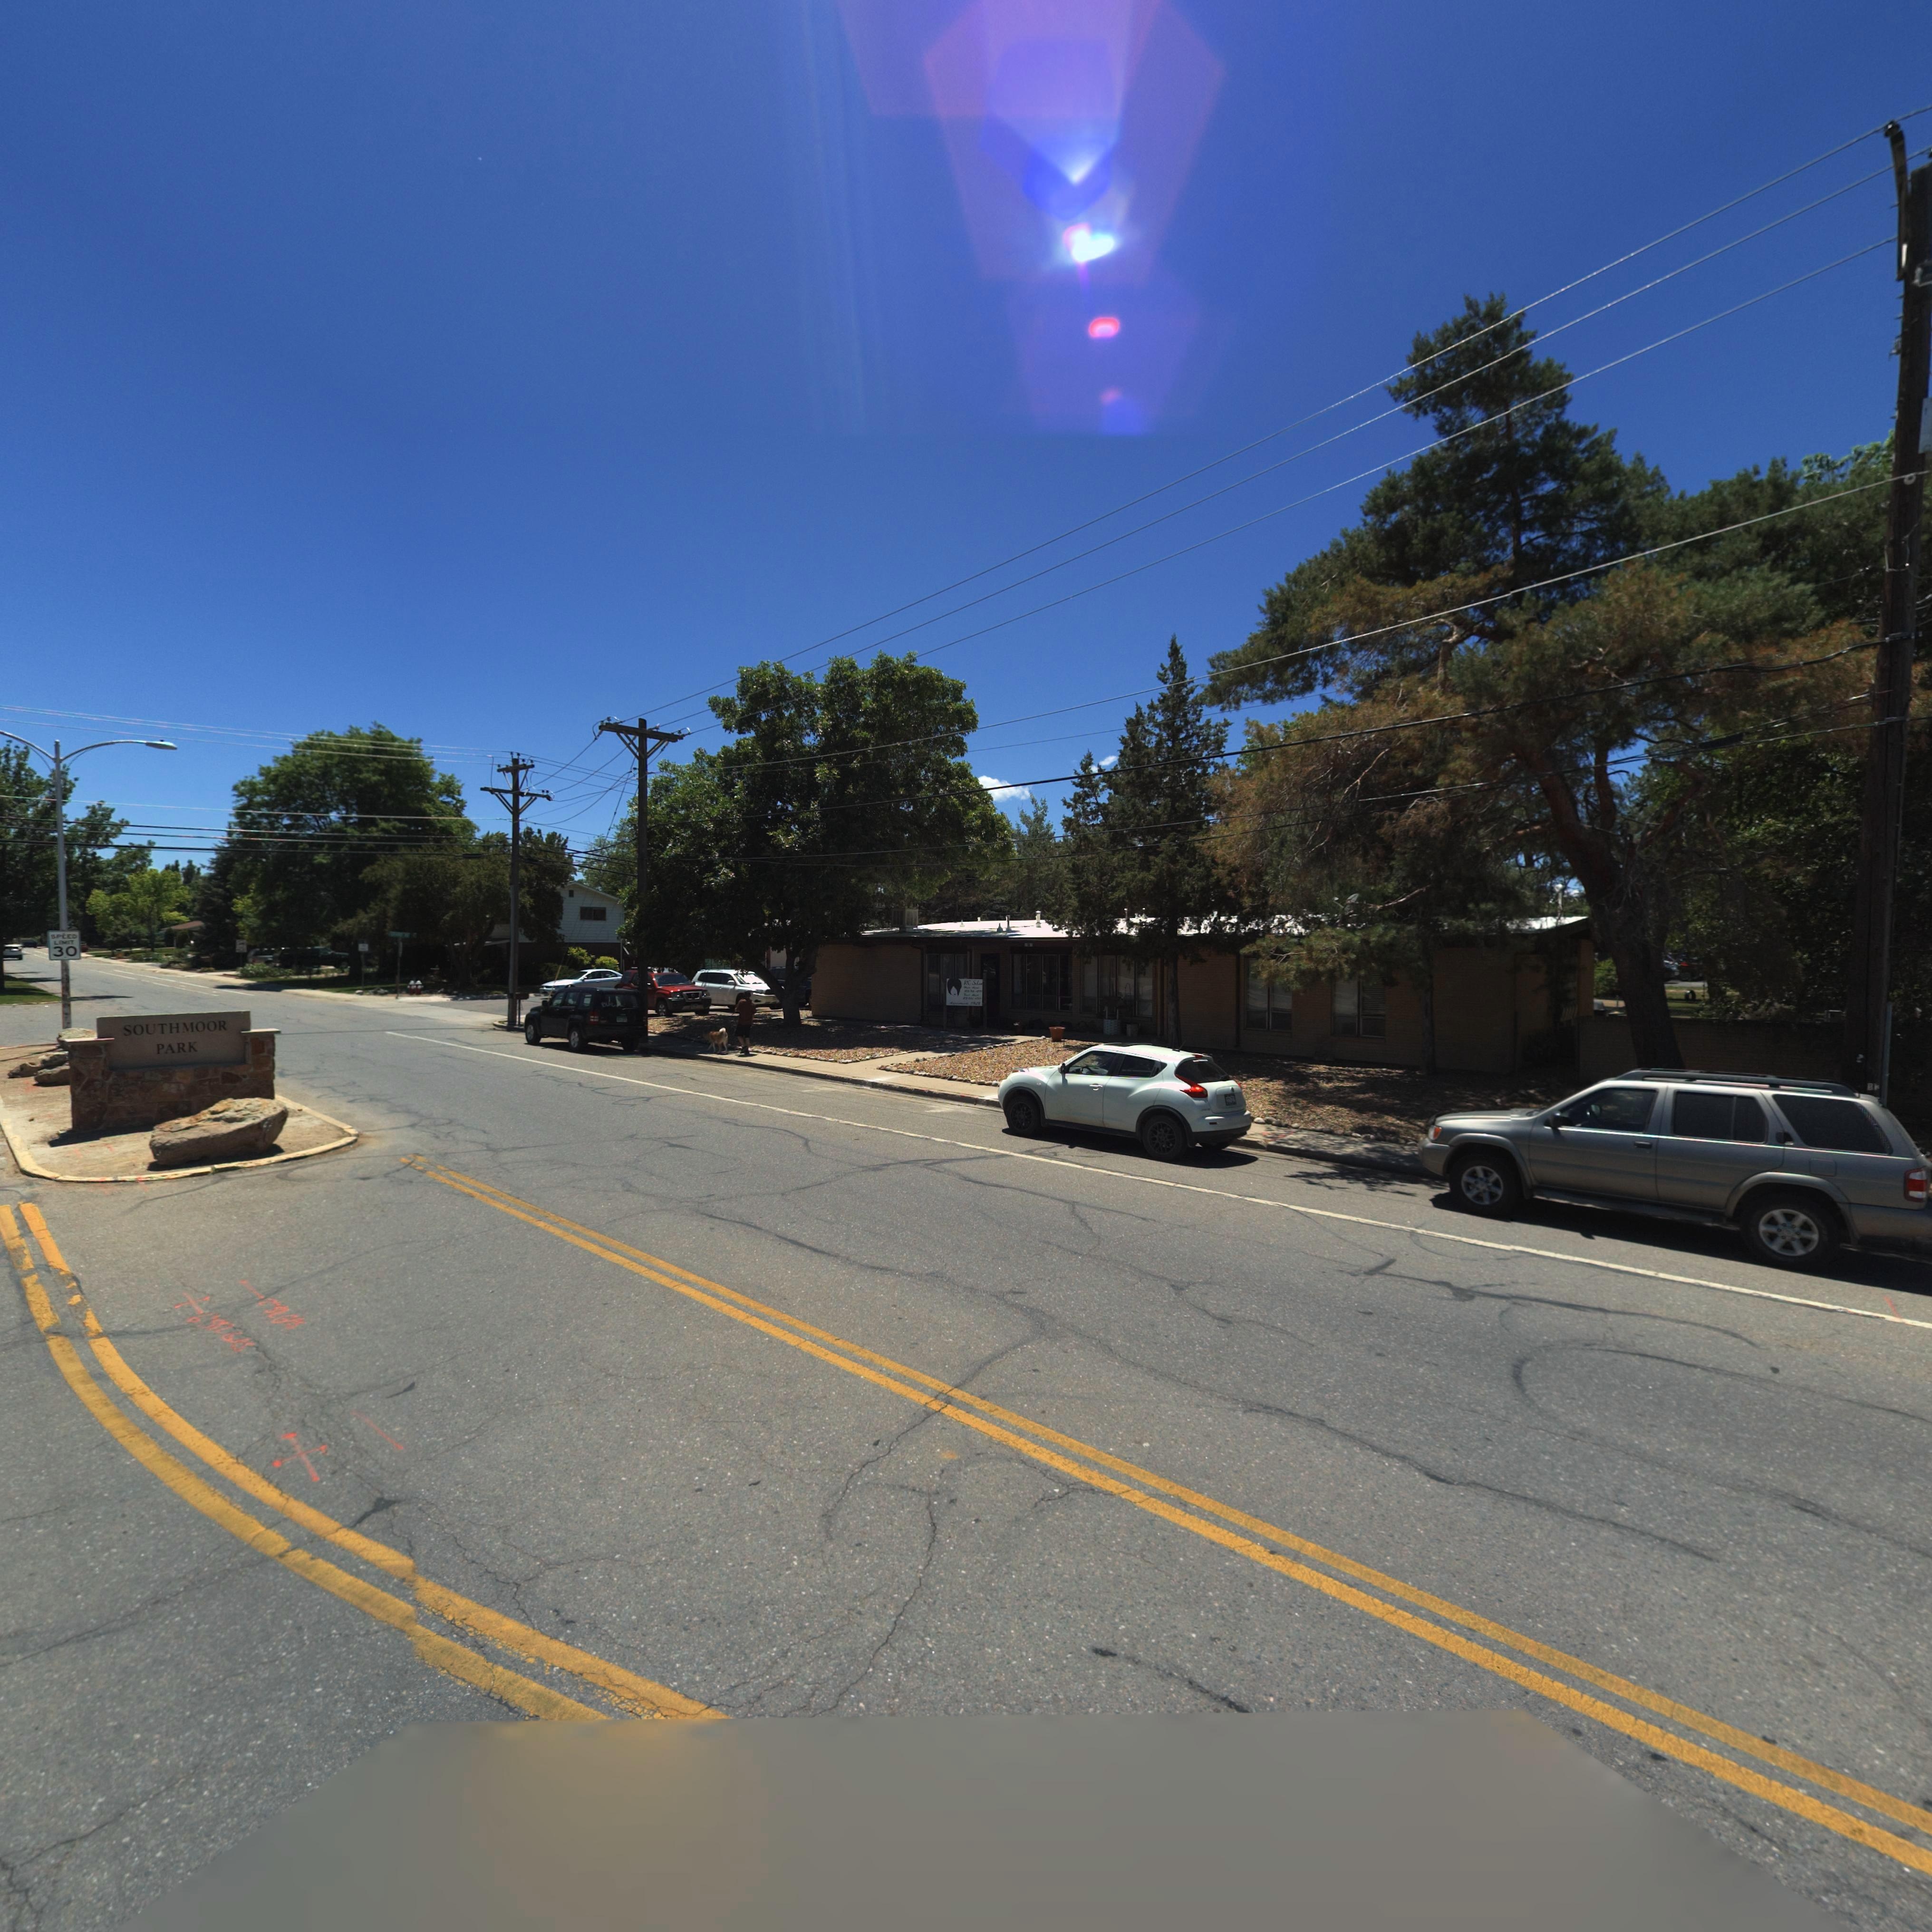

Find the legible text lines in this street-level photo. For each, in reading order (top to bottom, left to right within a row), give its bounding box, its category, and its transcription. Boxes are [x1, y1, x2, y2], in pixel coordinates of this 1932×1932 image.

[963, 980, 982, 985] BusinessName: KC S*l**